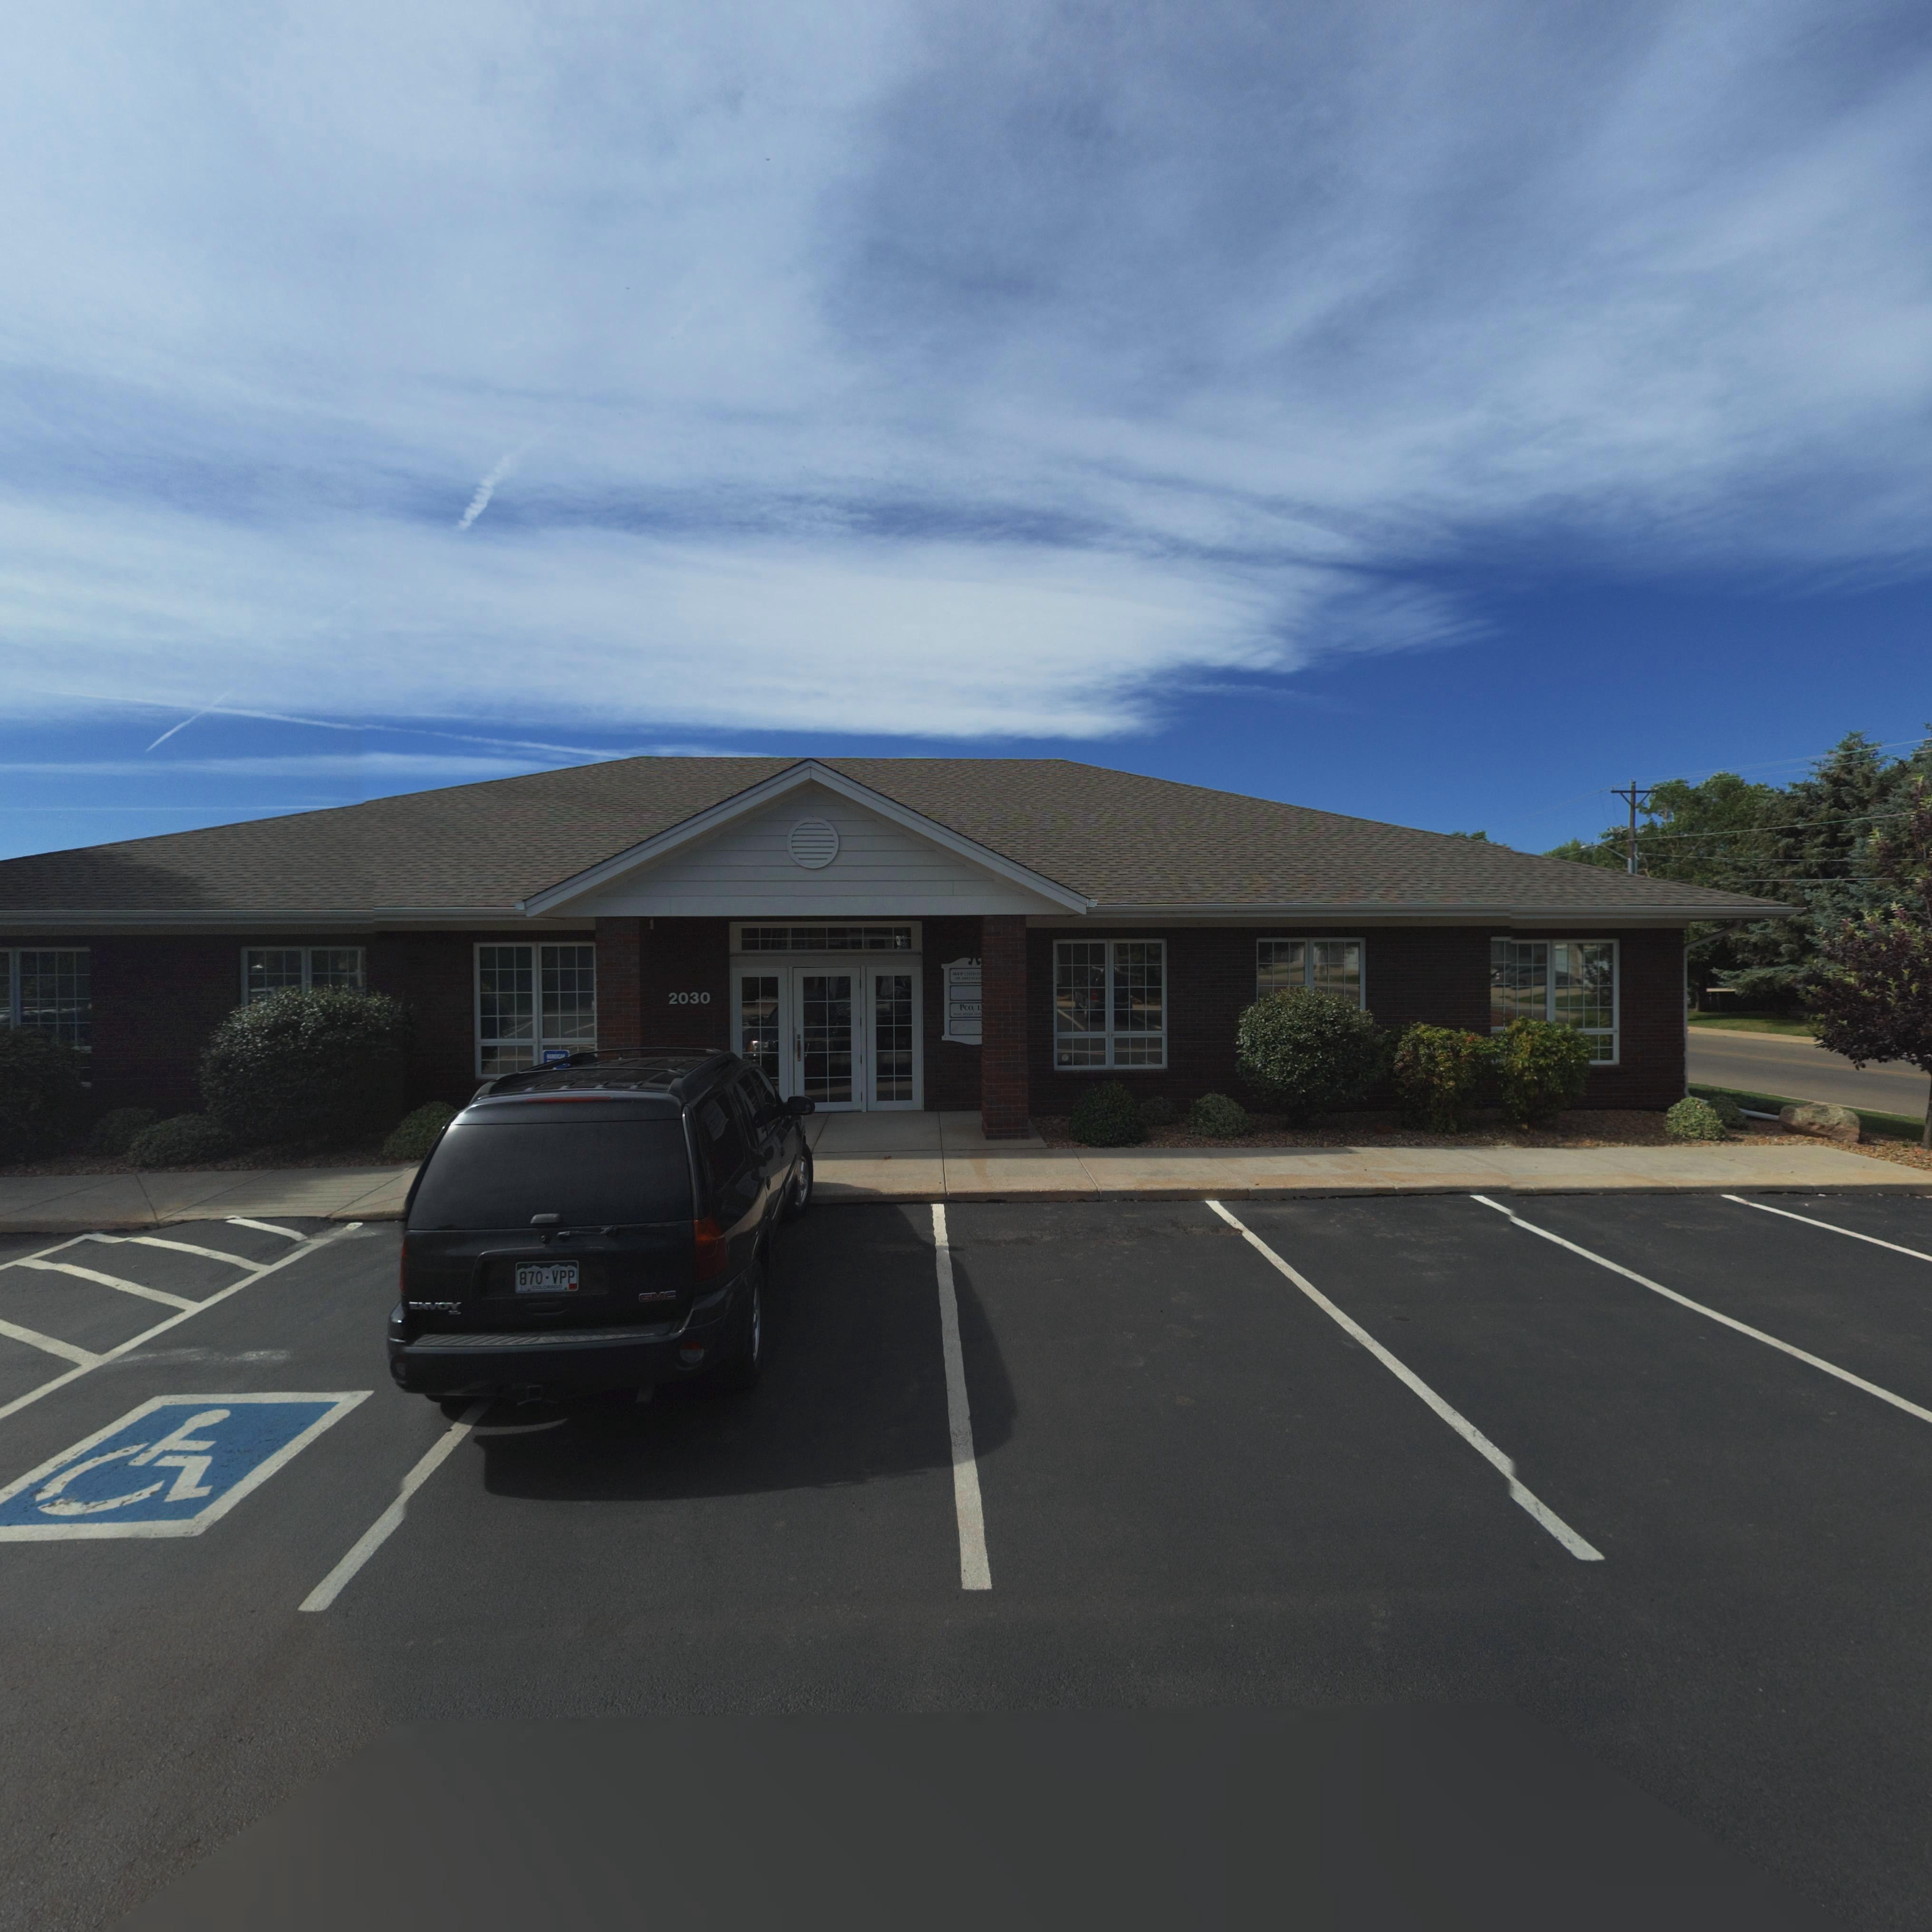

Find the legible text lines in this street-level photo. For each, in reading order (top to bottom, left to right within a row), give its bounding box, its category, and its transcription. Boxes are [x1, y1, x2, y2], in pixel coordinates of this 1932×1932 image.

[952, 971, 981, 976] BusinessName: MVP CHI***
[667, 991, 711, 1005] StreetNumber: 2030
[959, 1004, 982, 1011] BusinessName: PCO, L